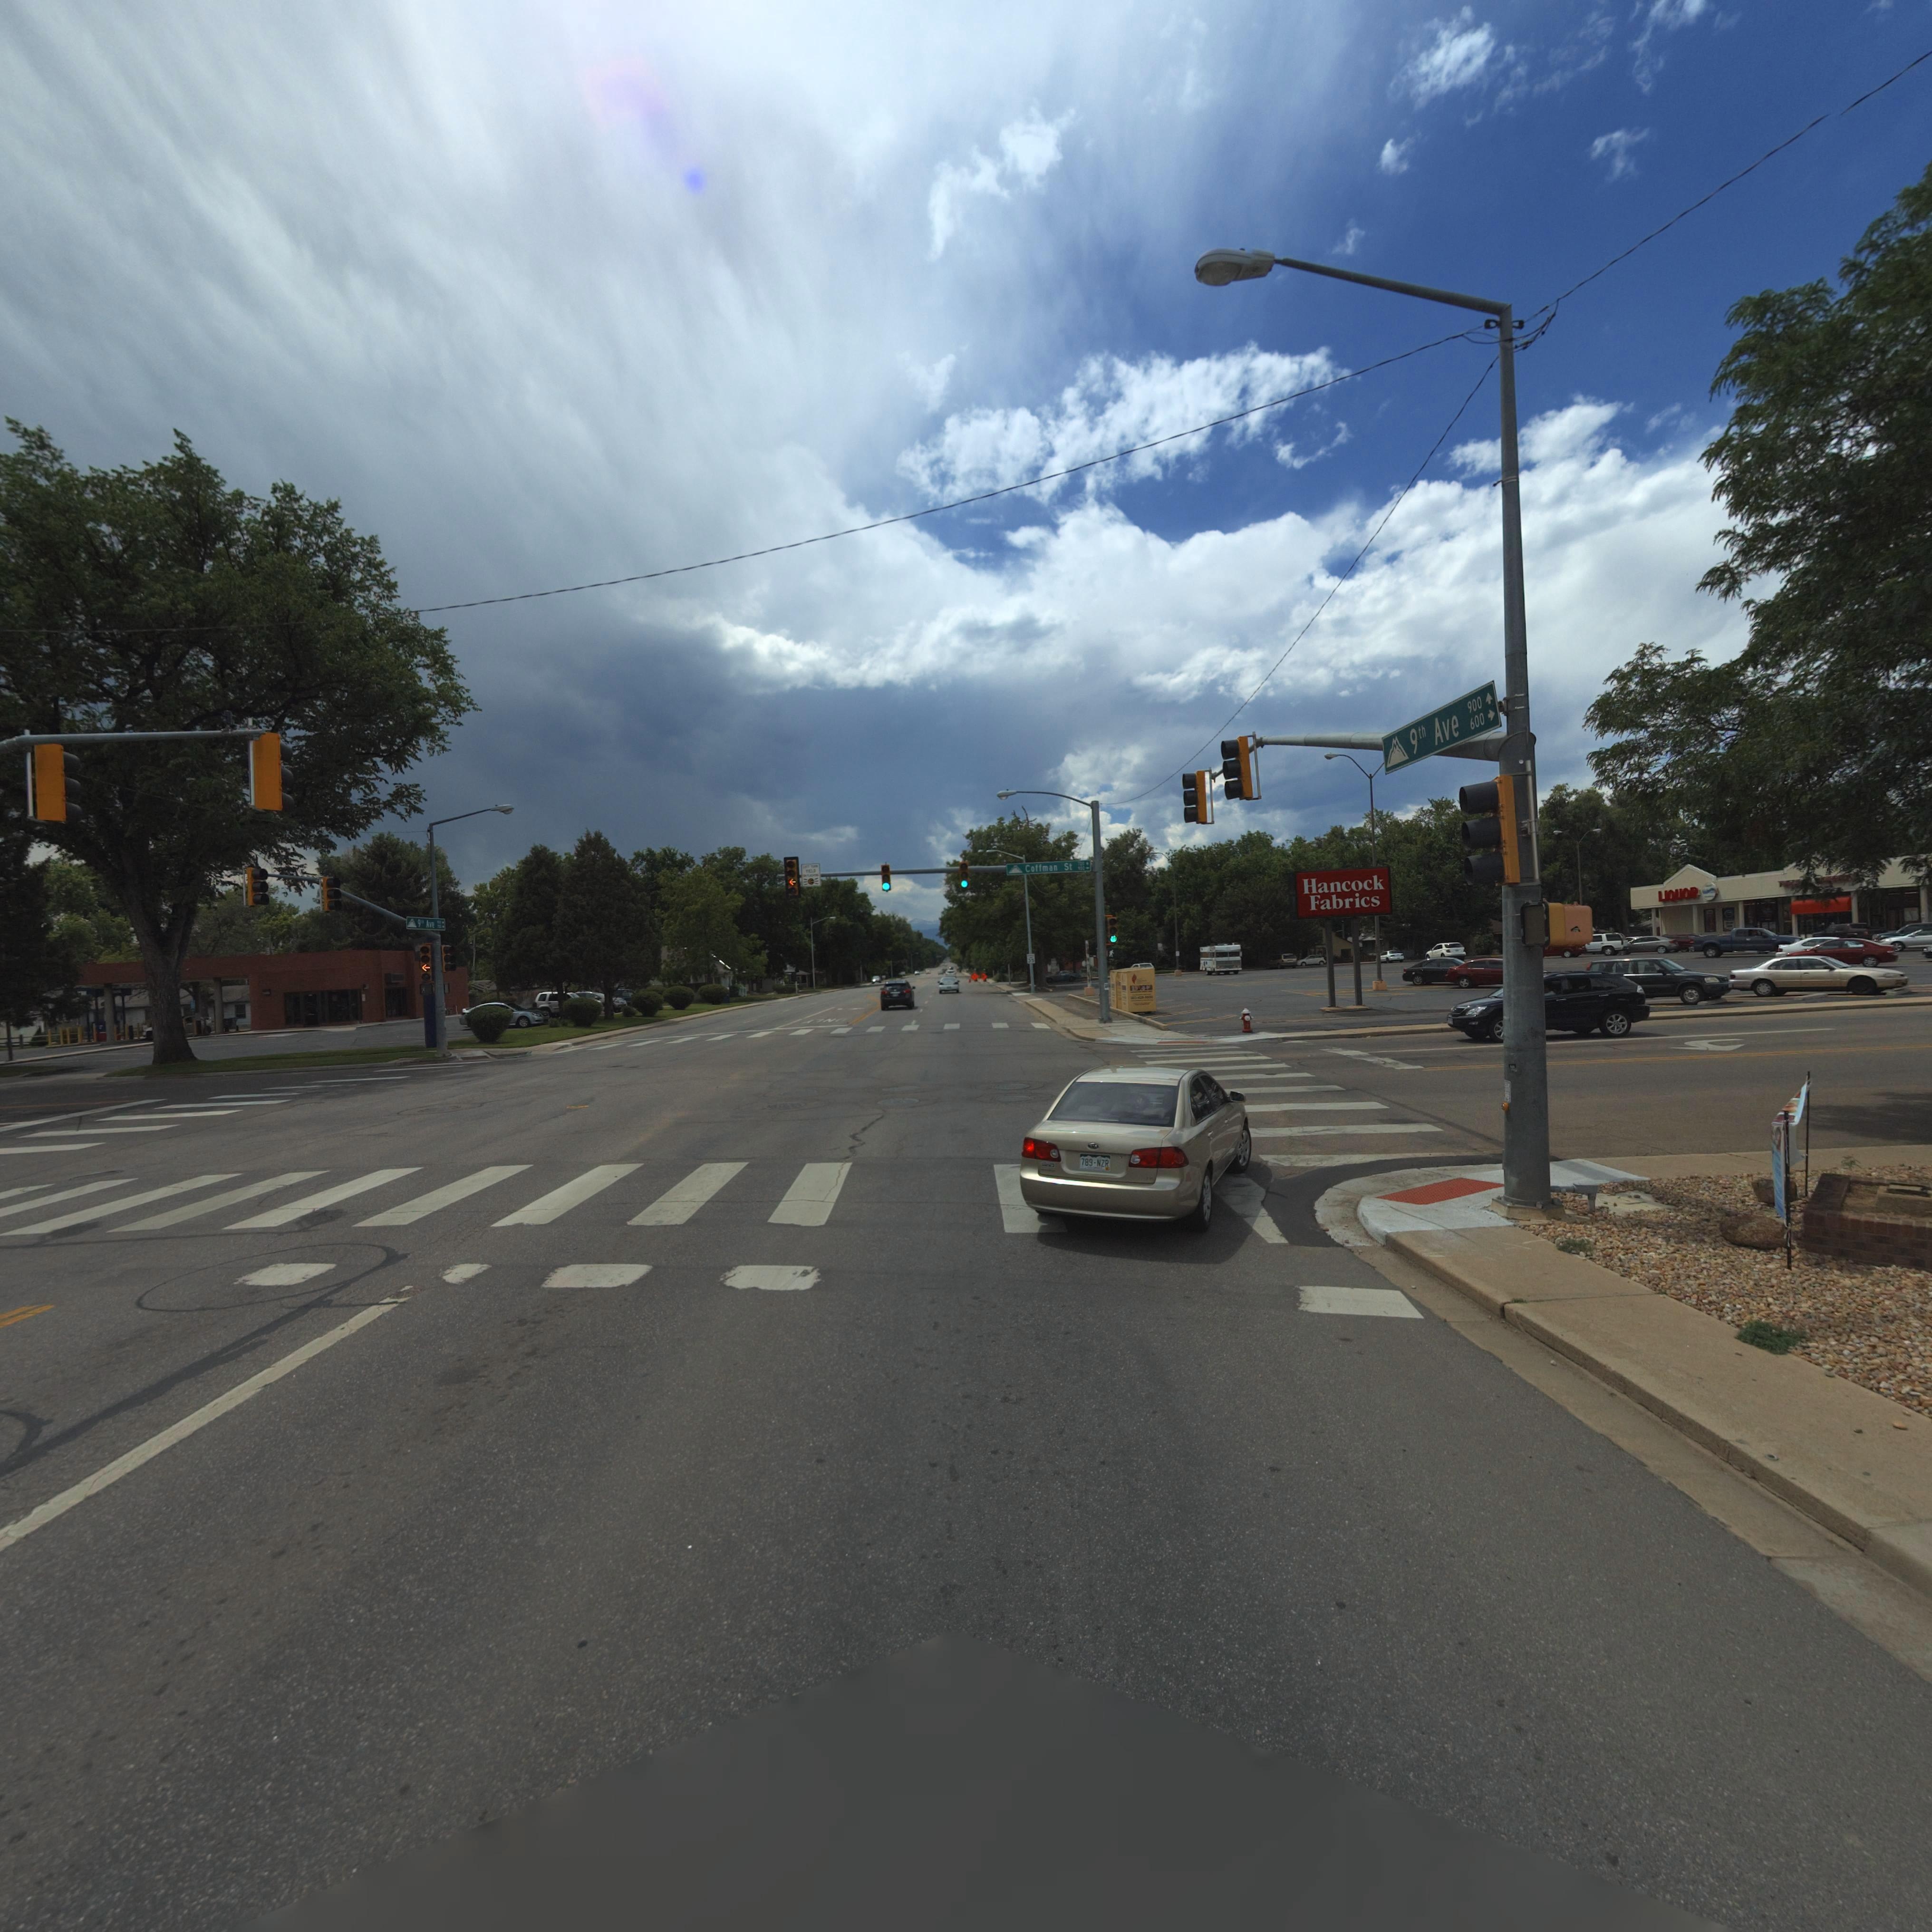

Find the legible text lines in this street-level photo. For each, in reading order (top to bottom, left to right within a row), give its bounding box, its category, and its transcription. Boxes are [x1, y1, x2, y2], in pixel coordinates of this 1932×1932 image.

[1467, 696, 1482, 713] StreetNumberRange: 900
[1469, 707, 1496, 729] StreetNumberRange: 600 ->
[1408, 715, 1460, 754] StreetName: 9th Ave
[1024, 862, 1072, 872] StreetName: Coffman St
[1077, 861, 1084, 865] StreetNumberRange: 700
[1078, 866, 1089, 869] StreetNumberRange: *00 ->
[1303, 875, 1384, 893] BusinessName: Hancock
[1309, 892, 1380, 910] BusinessName: Fabrics
[417, 919, 435, 928] StreetName: 9th Ave